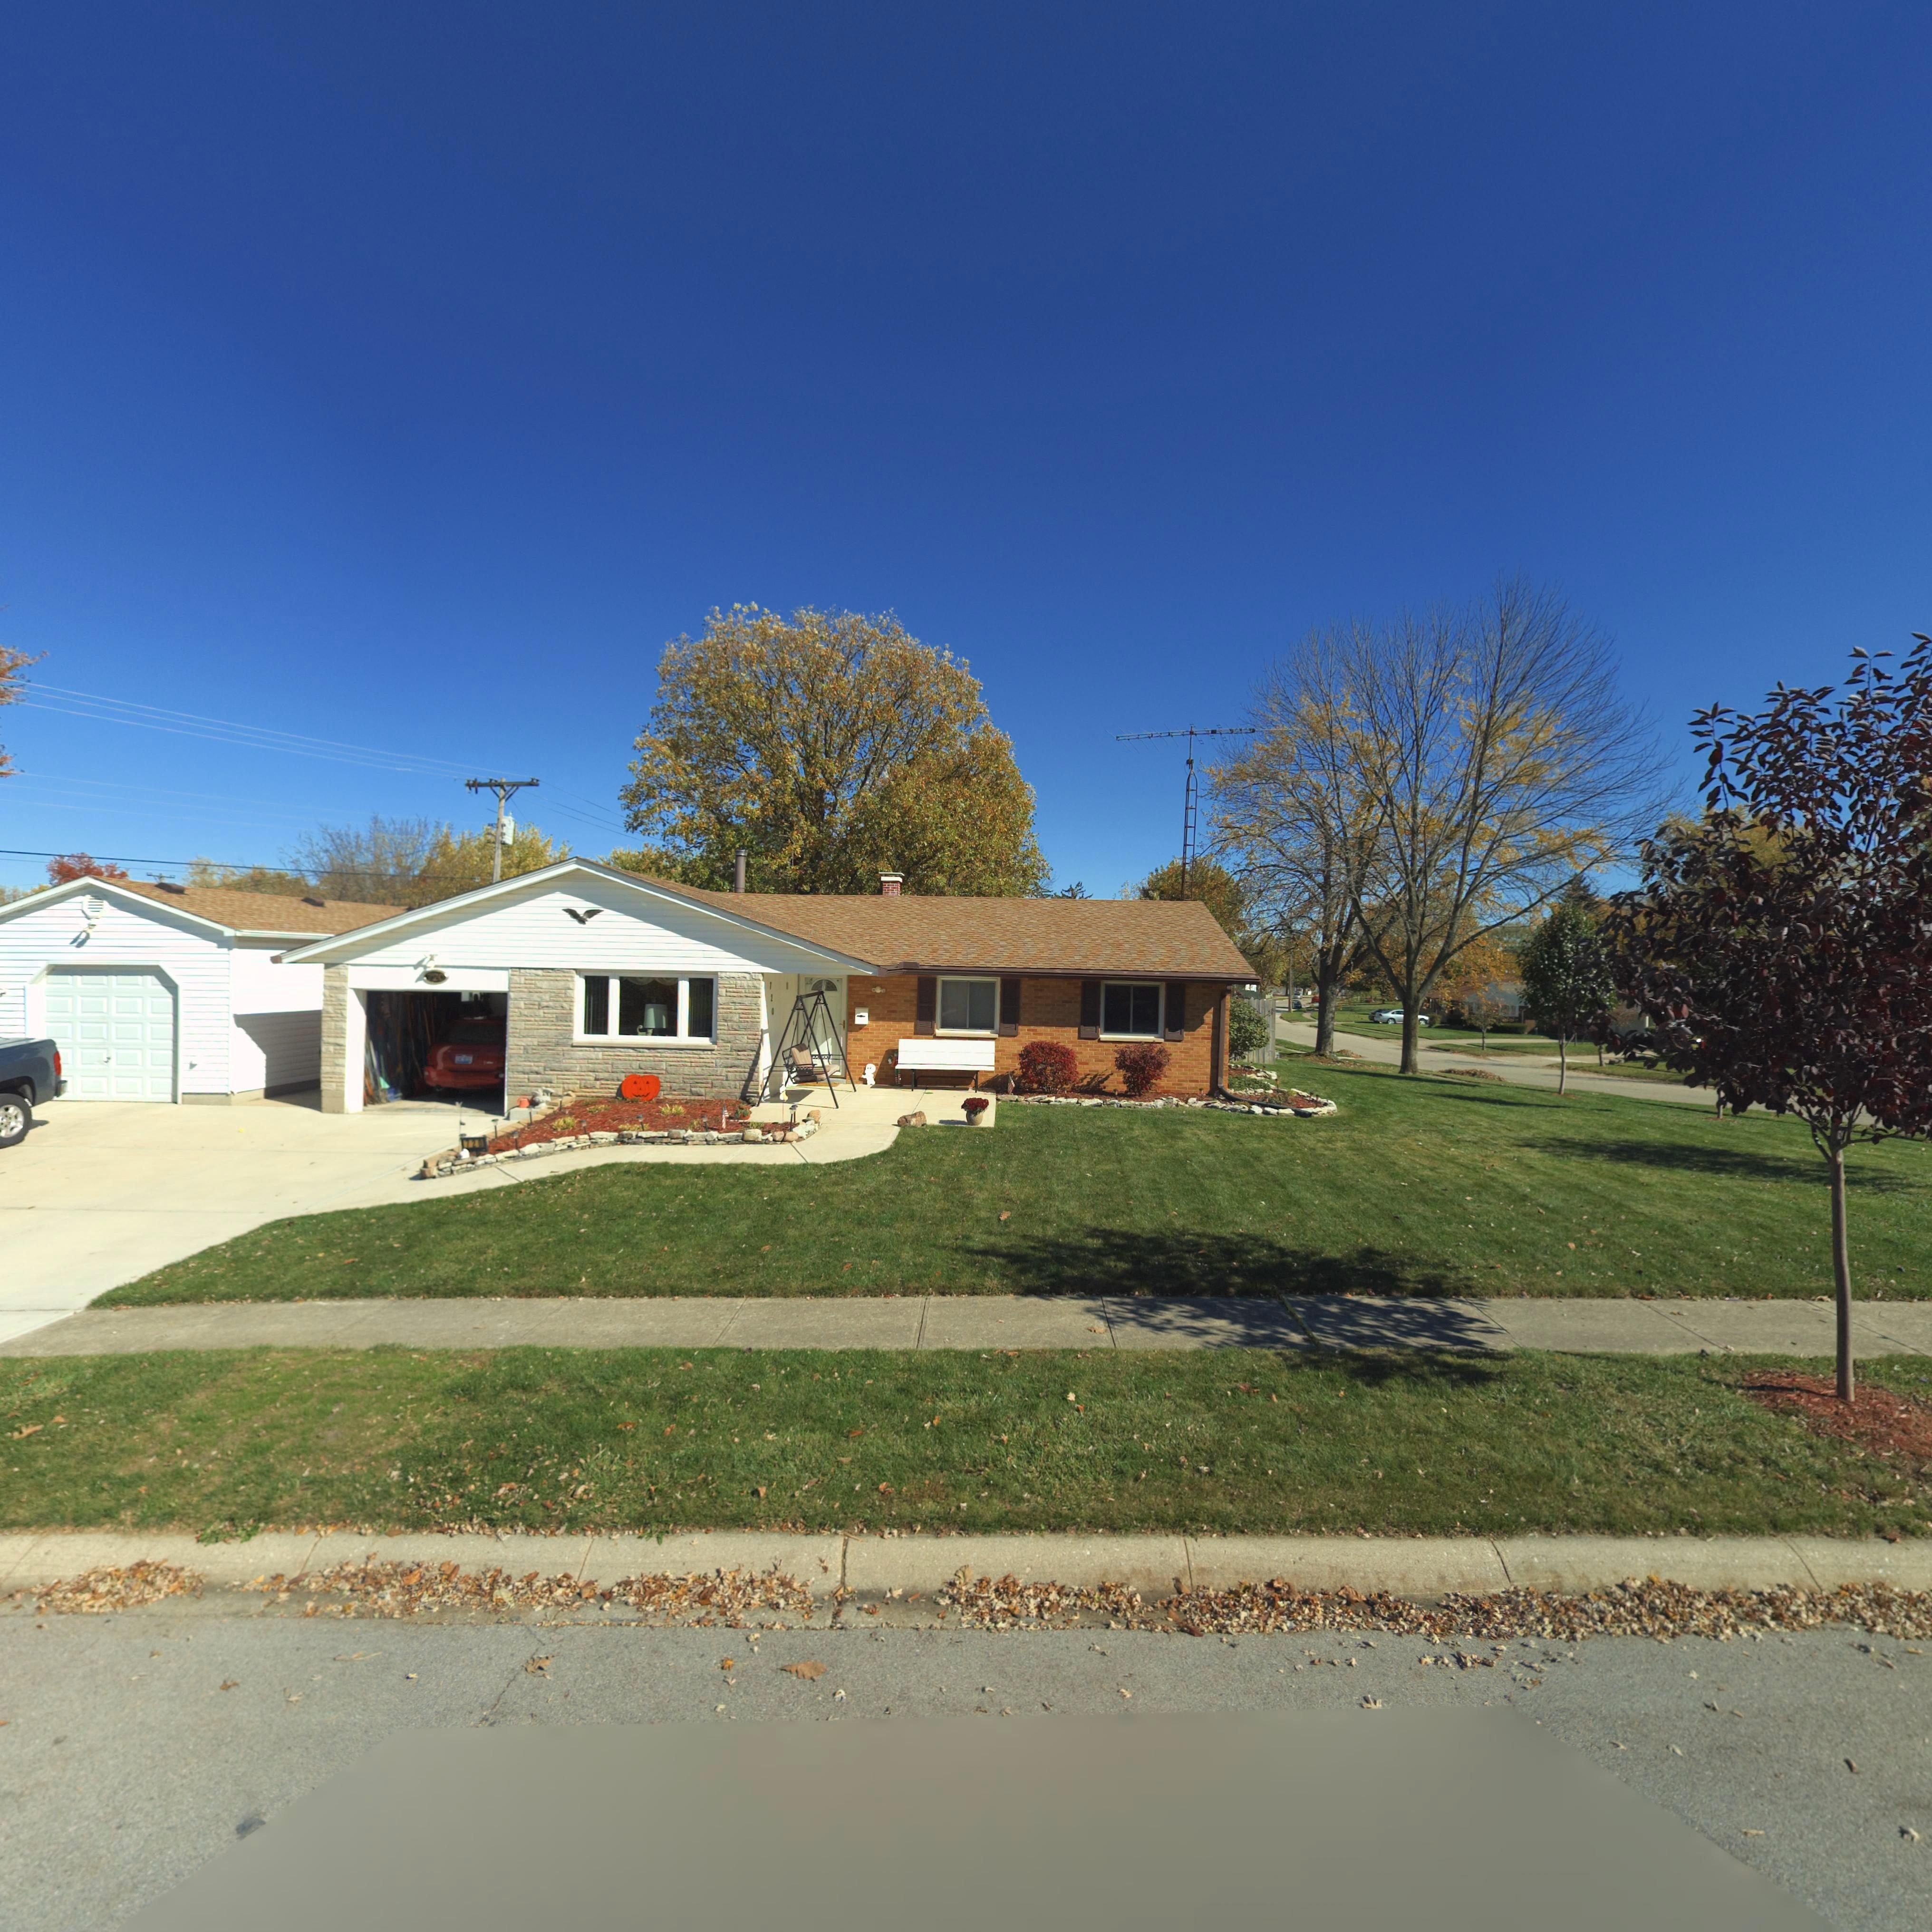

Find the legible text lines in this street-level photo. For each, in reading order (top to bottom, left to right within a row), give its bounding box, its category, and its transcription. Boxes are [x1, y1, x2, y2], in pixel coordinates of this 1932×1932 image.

[426, 973, 446, 982] StreetNumber: 720
[769, 981, 774, 1015] StreetNumber: 720